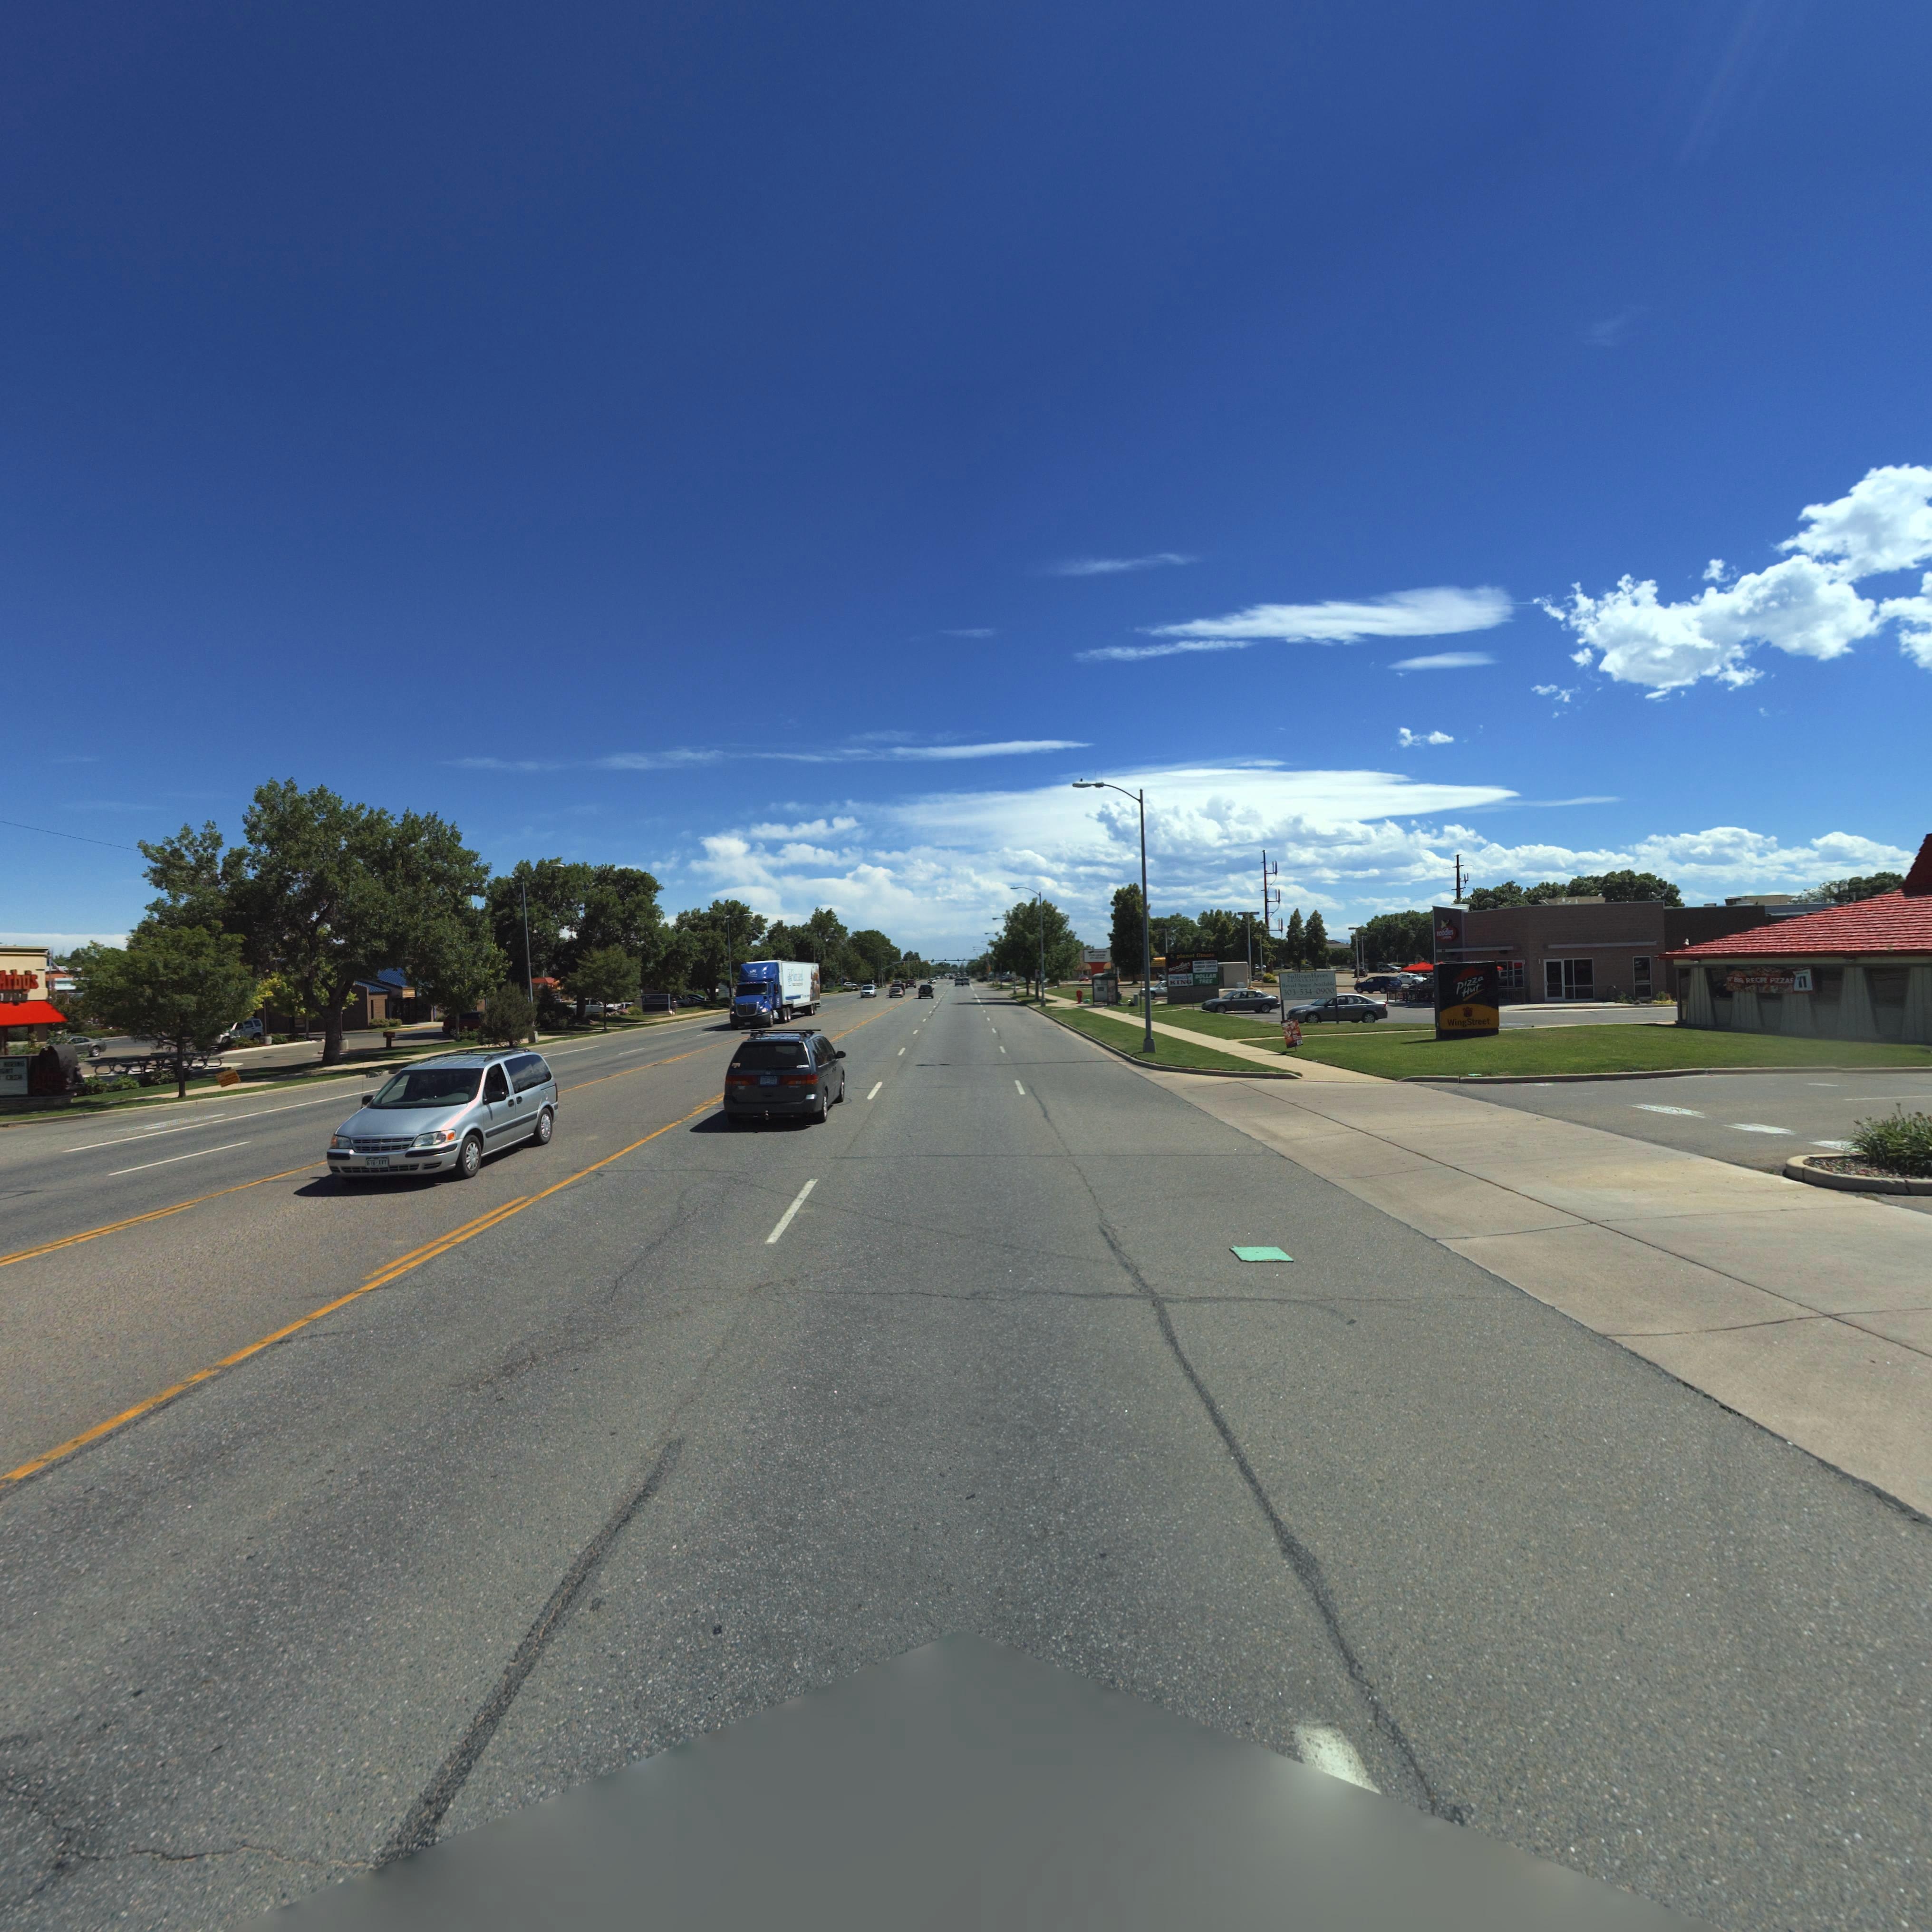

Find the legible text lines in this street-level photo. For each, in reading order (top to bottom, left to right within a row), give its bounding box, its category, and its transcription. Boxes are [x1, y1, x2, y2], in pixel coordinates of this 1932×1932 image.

[1436, 927, 1453, 936] BusinessName: noodles
[1176, 952, 1215, 959] BusinessName: planet fitnes*
[1168, 961, 1190, 972] BusinessName: noodles
[1, 969, 39, 995] BusinessName: *rb*'s
[1171, 976, 1189, 979] BusinessName: *O**CC*
[1169, 979, 1191, 985] BusinessName: KING
[1195, 974, 1216, 978] BusinessName: DOLLAR
[1198, 979, 1213, 984] BusinessName: TREE
[1456, 975, 1484, 995] BusinessName: pizza
[1461, 983, 1482, 998] BusinessName: Hut
[1447, 1017, 1490, 1027] BusinessName: WingStreet